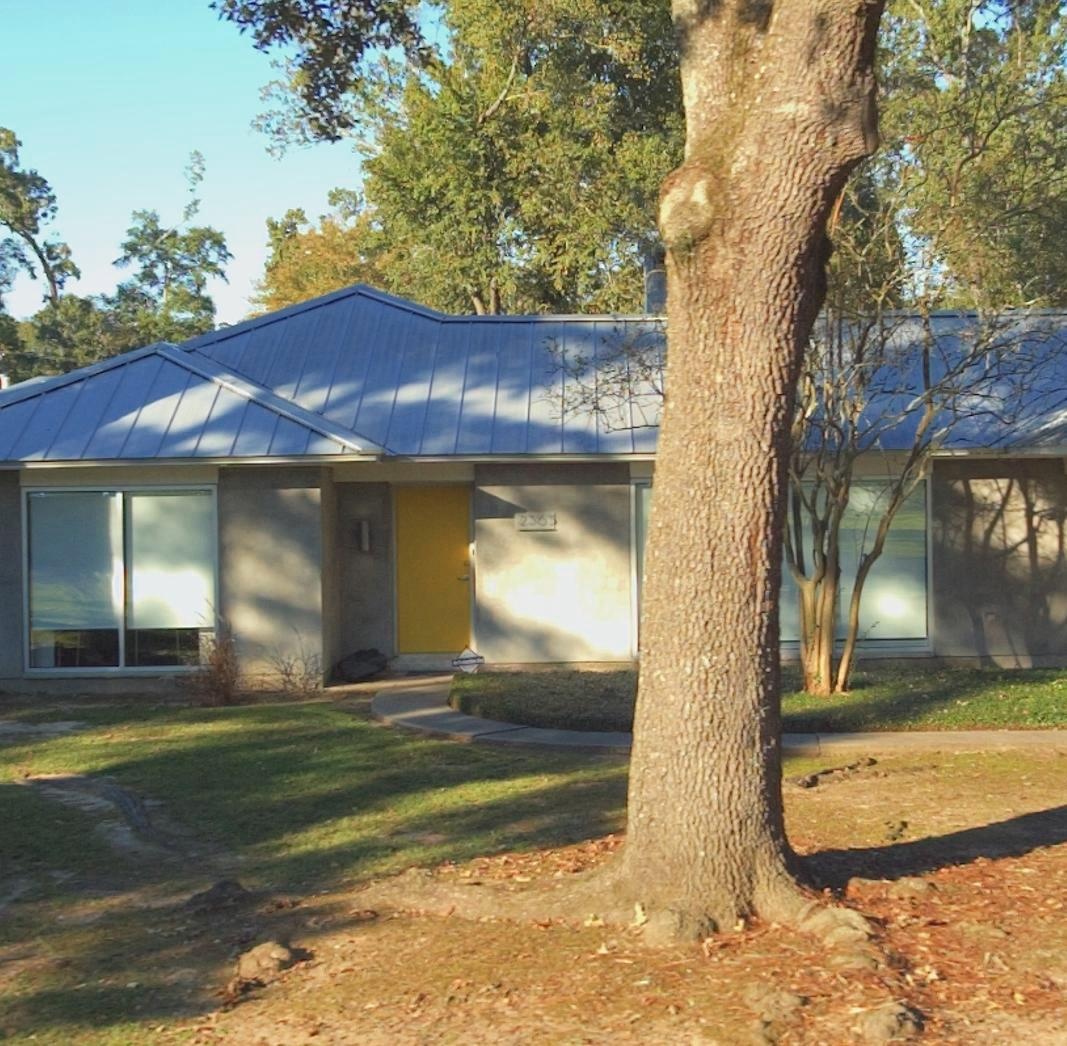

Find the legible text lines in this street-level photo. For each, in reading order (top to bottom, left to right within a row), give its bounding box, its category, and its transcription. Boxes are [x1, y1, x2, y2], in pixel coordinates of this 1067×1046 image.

[519, 513, 559, 528] StreetNumber: 2365